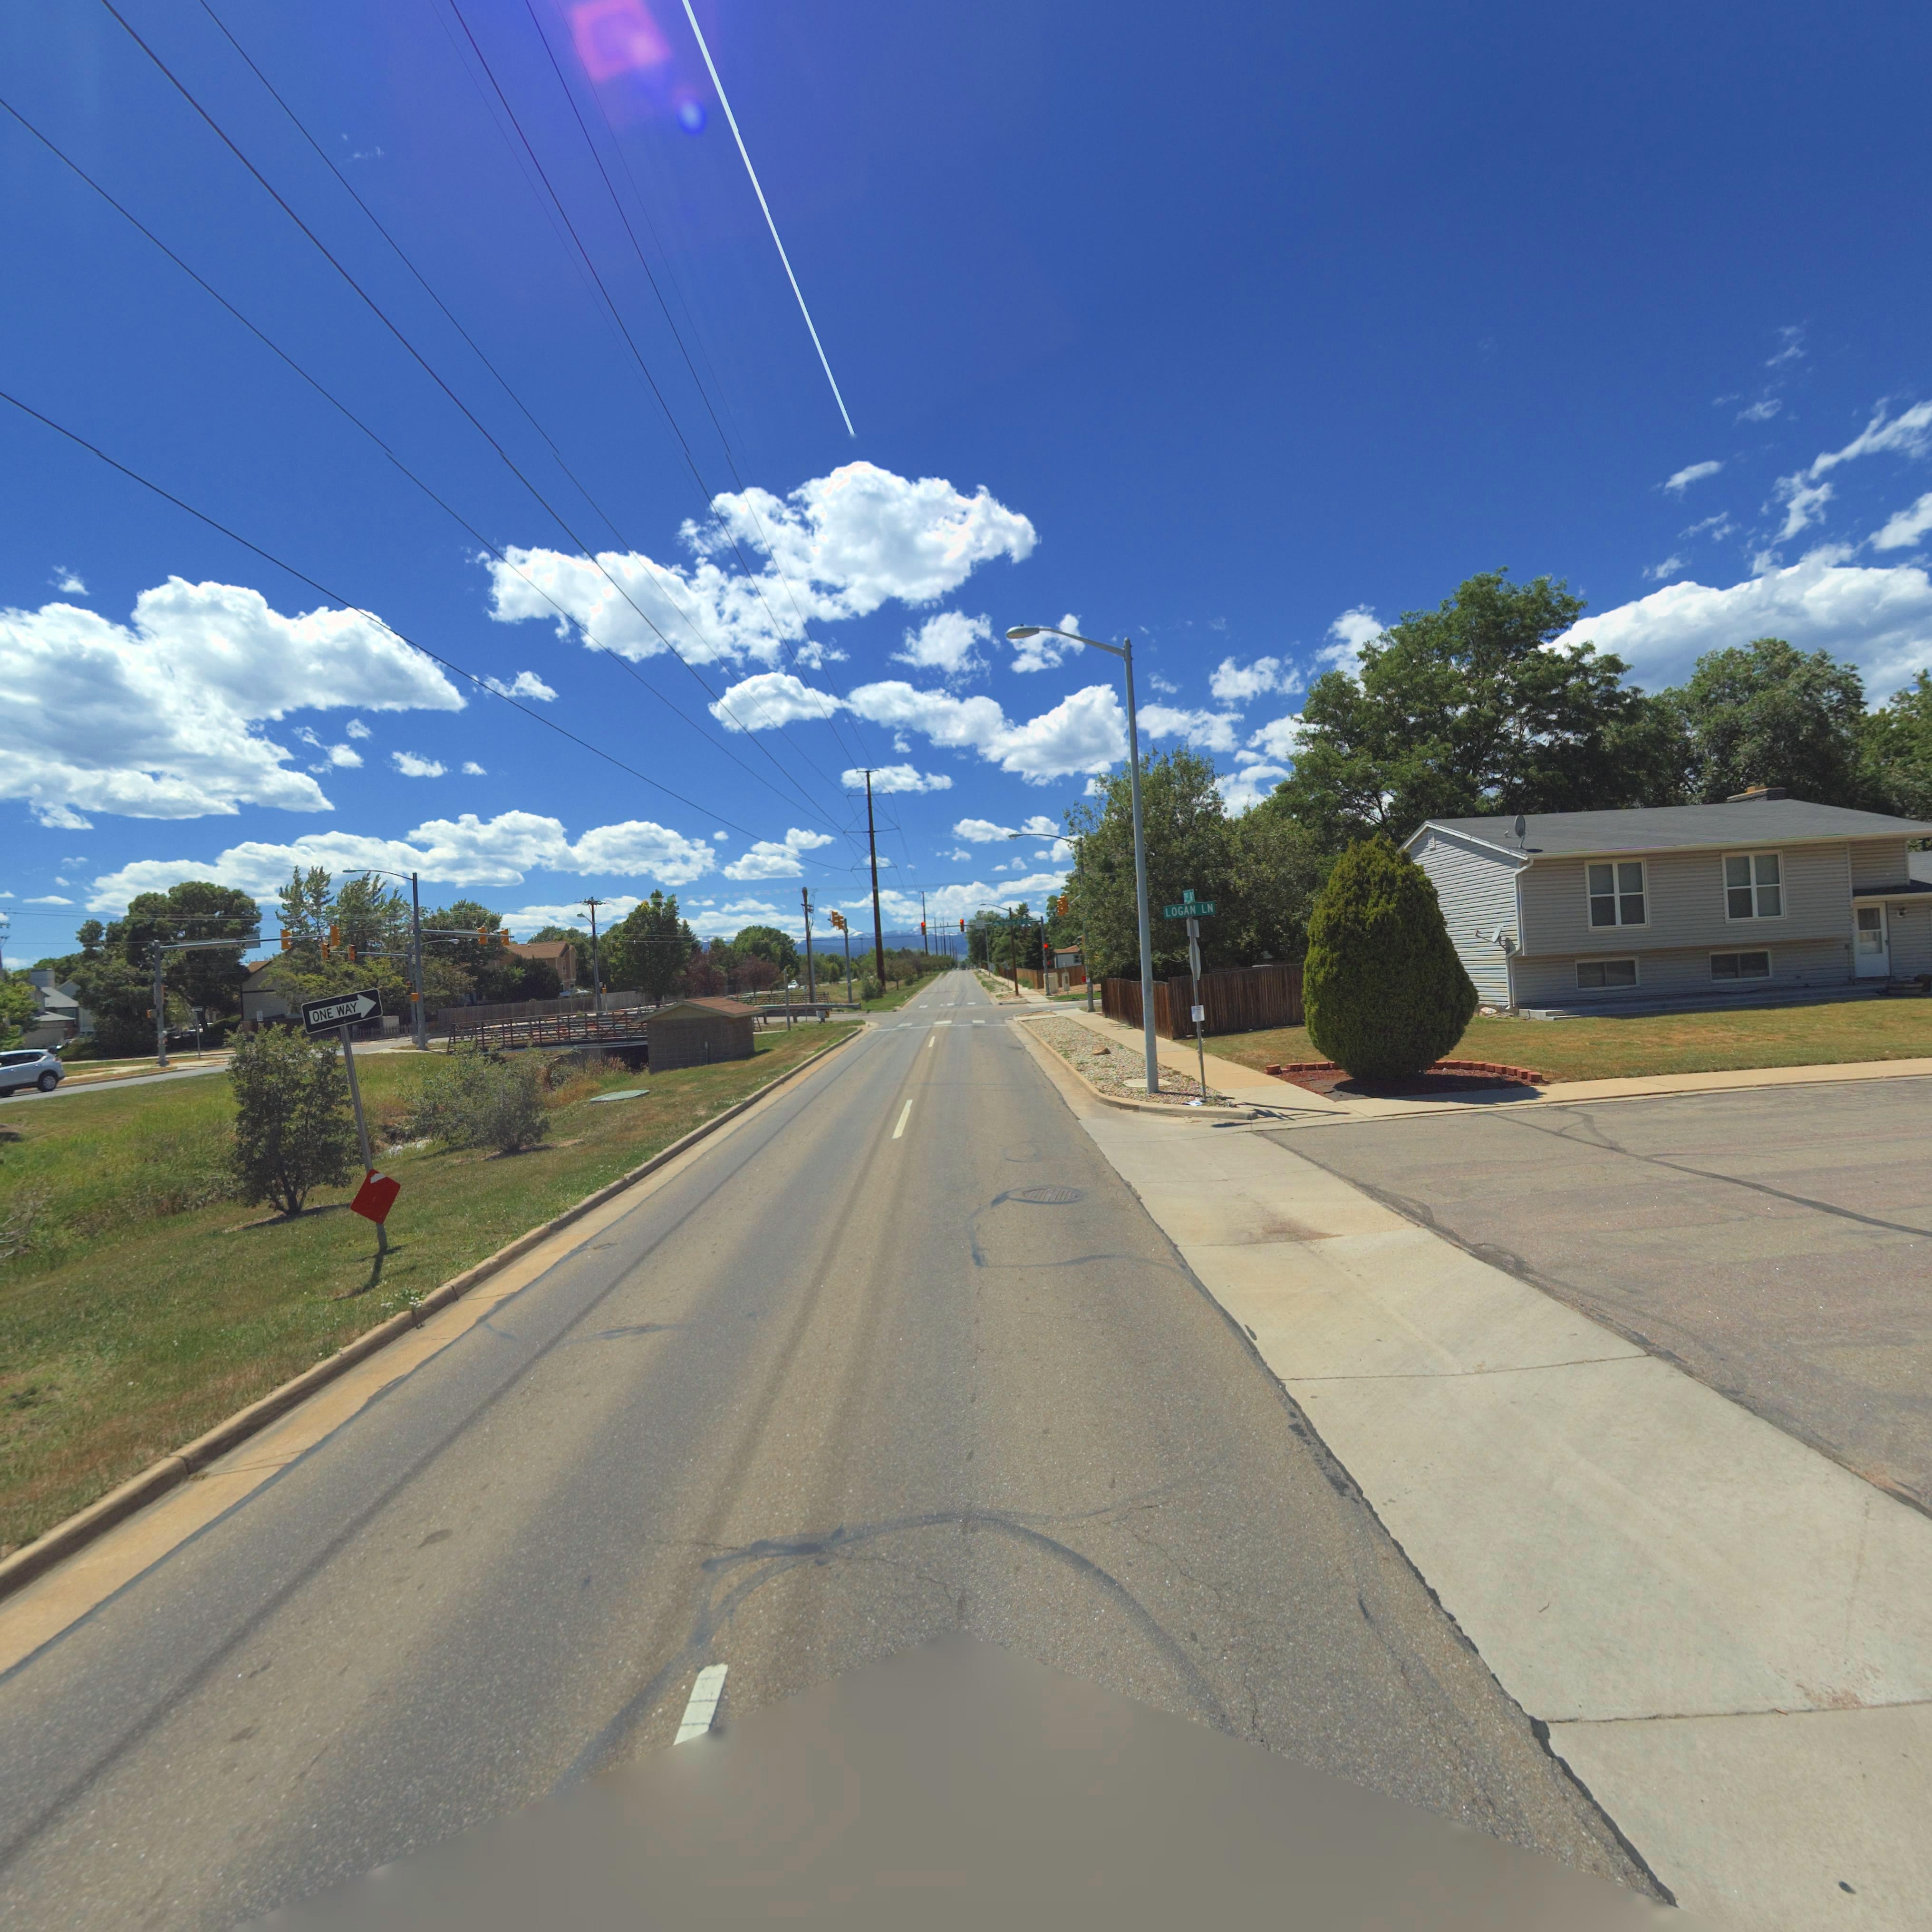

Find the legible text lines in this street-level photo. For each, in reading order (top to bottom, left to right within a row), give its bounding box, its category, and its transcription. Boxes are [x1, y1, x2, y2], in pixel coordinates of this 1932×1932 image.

[1183, 890, 1193, 902] StreetName: 2*** A*
[1165, 903, 1213, 917] StreetName: LOGAN LN
[1000, 919, 1021, 925] StreetName: Fr***** S*